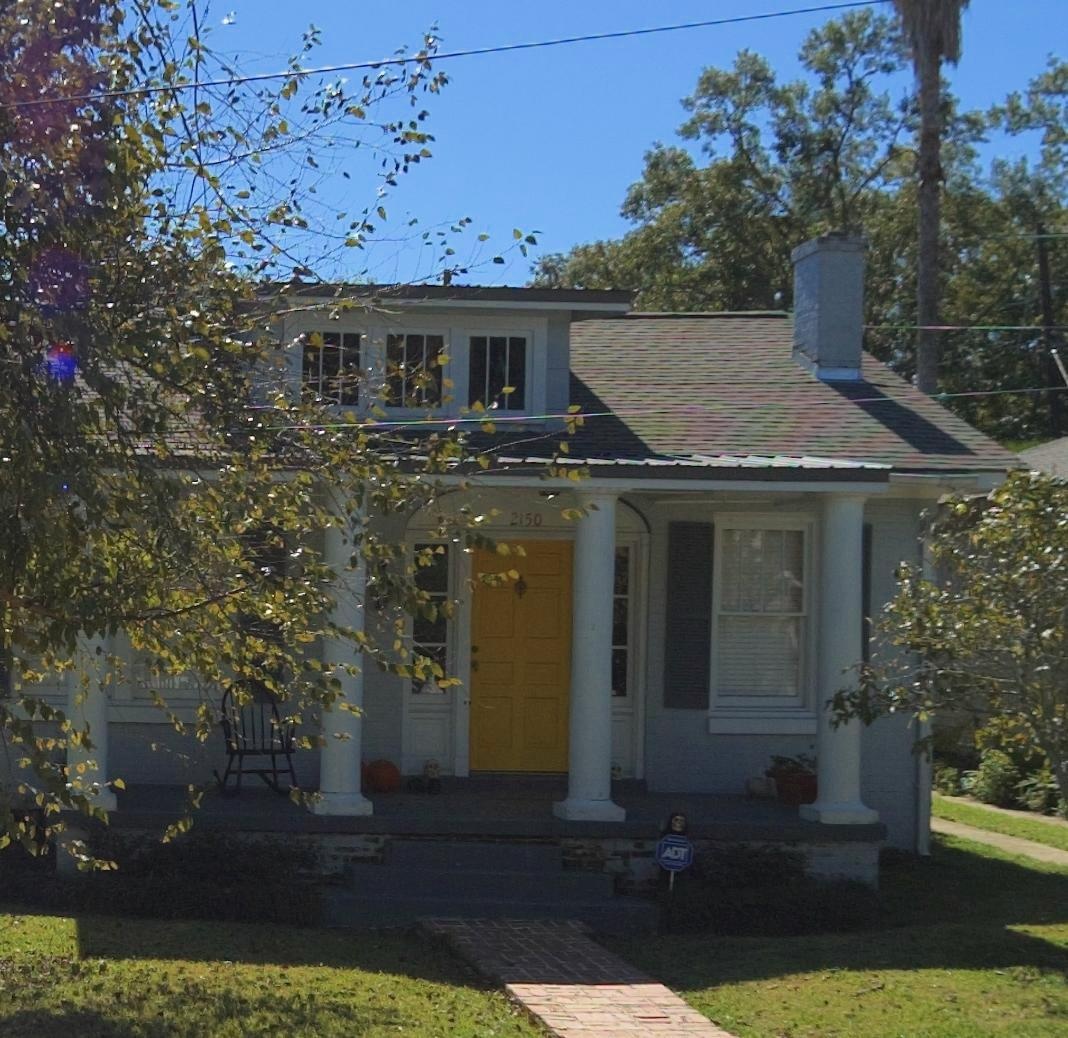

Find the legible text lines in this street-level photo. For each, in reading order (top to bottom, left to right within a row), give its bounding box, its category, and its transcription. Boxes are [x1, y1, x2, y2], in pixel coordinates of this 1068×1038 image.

[508, 508, 545, 529] StreetNumber: 2150
[658, 844, 690, 863] None: ADT